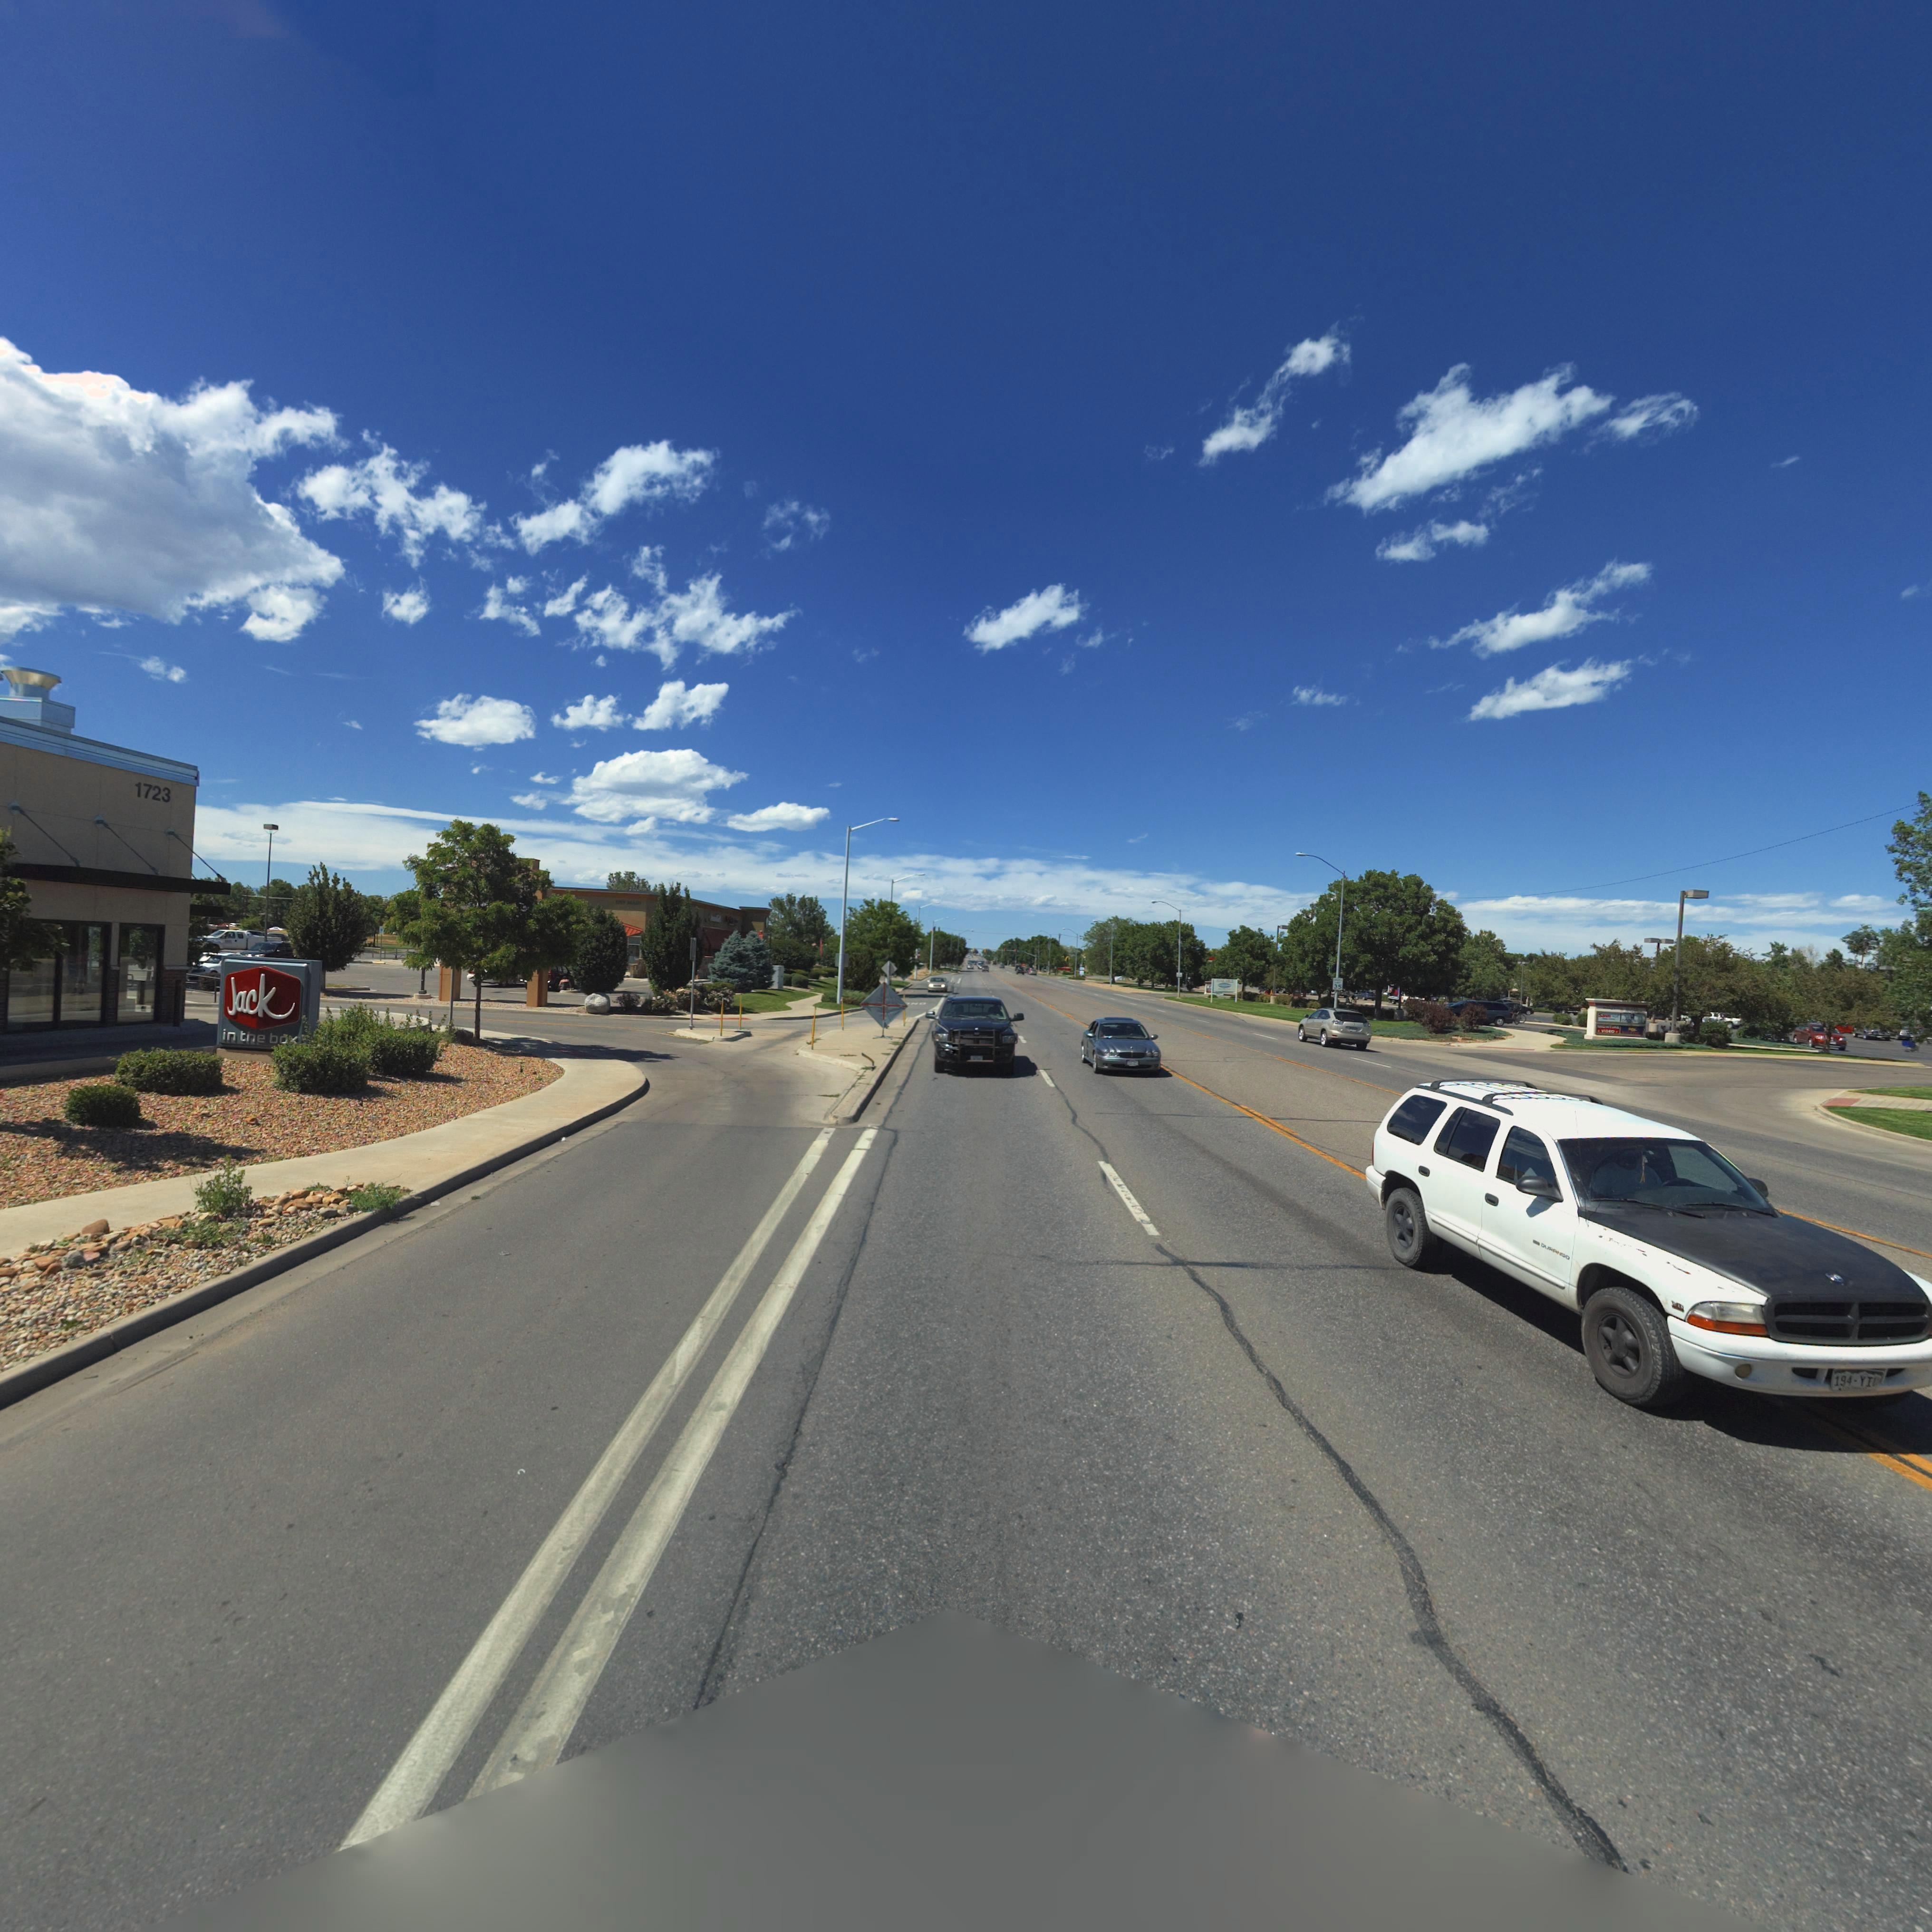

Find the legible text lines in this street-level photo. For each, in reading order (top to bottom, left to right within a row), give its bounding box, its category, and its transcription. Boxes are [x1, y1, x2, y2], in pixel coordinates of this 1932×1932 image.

[134, 782, 171, 803] StreetNumber: 1723
[615, 899, 626, 904] StreetNumber: 1***
[627, 899, 642, 906] StreetName: M***
[226, 972, 289, 1020] BusinessName: Jack
[1598, 1013, 1610, 1017] BusinessName: S***
[1601, 1029, 1614, 1033] BusinessName: v***o
[222, 1028, 299, 1046] BusinessName: in the box